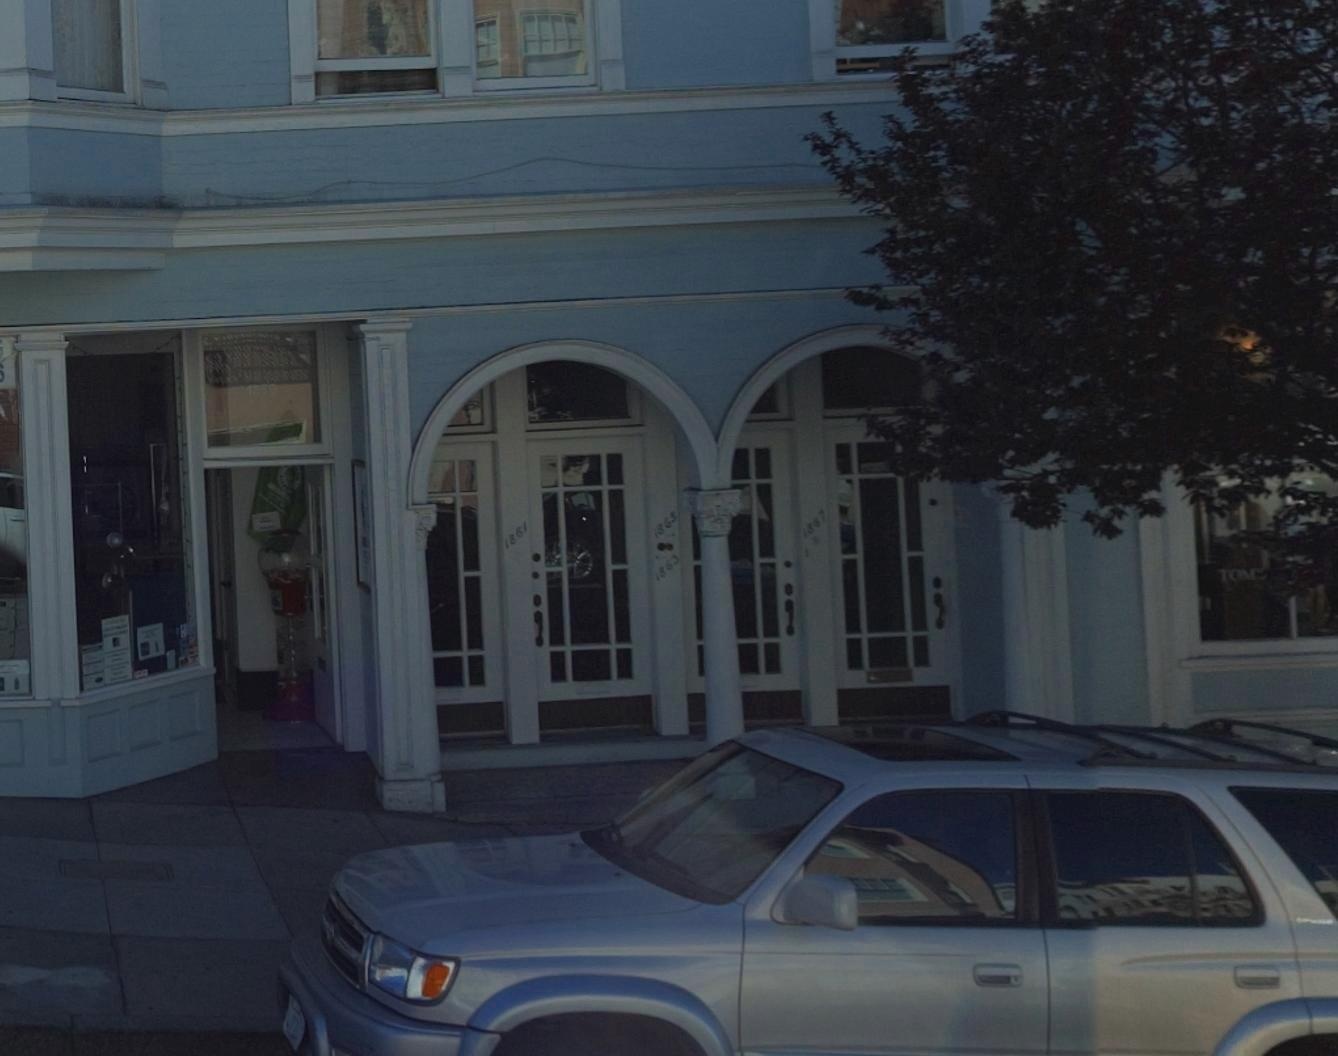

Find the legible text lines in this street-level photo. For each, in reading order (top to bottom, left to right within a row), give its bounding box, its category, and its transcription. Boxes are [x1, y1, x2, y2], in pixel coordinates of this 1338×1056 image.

[505, 517, 529, 553] StreetNumber: 1861
[650, 507, 679, 542] StreetNumber: 1865
[801, 505, 828, 541] StreetNumber: 1867
[651, 550, 682, 583] StreetNumber: 1863
[1216, 568, 1257, 583] None: TOM